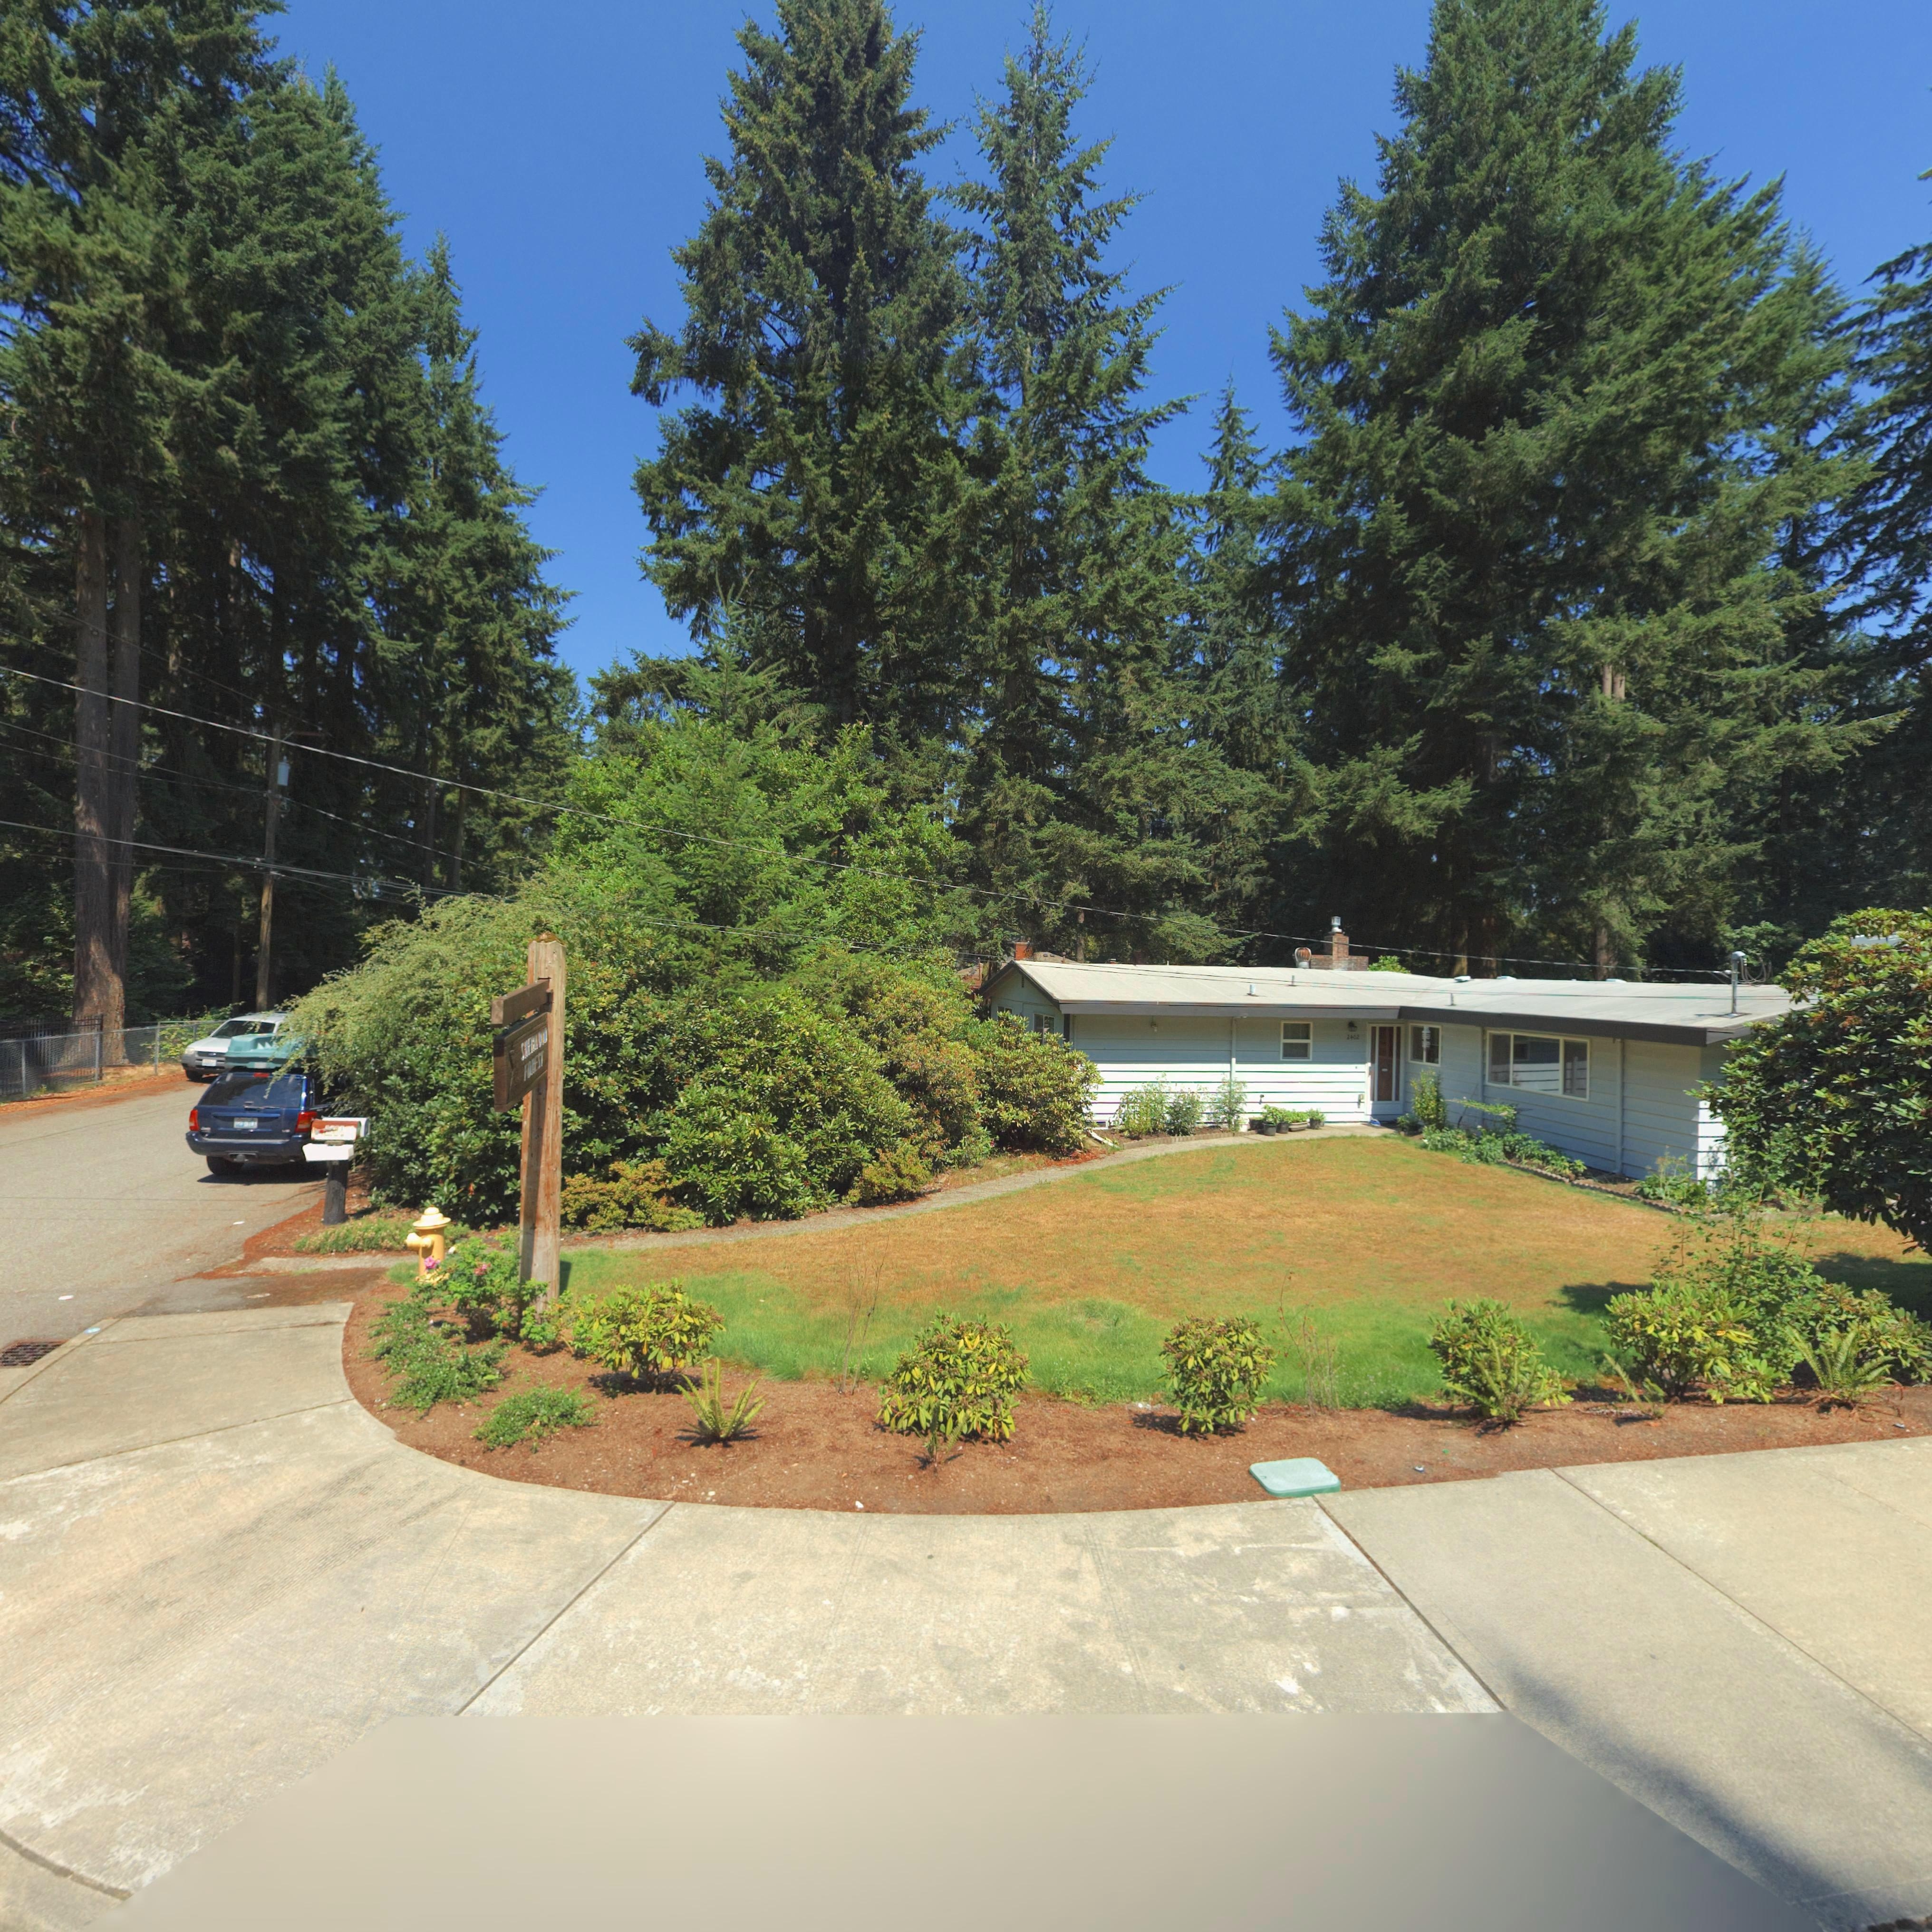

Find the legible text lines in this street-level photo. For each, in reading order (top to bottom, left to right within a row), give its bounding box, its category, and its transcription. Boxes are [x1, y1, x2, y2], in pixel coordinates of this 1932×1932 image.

[1347, 1034, 1360, 1040] StreetNumber: 2402